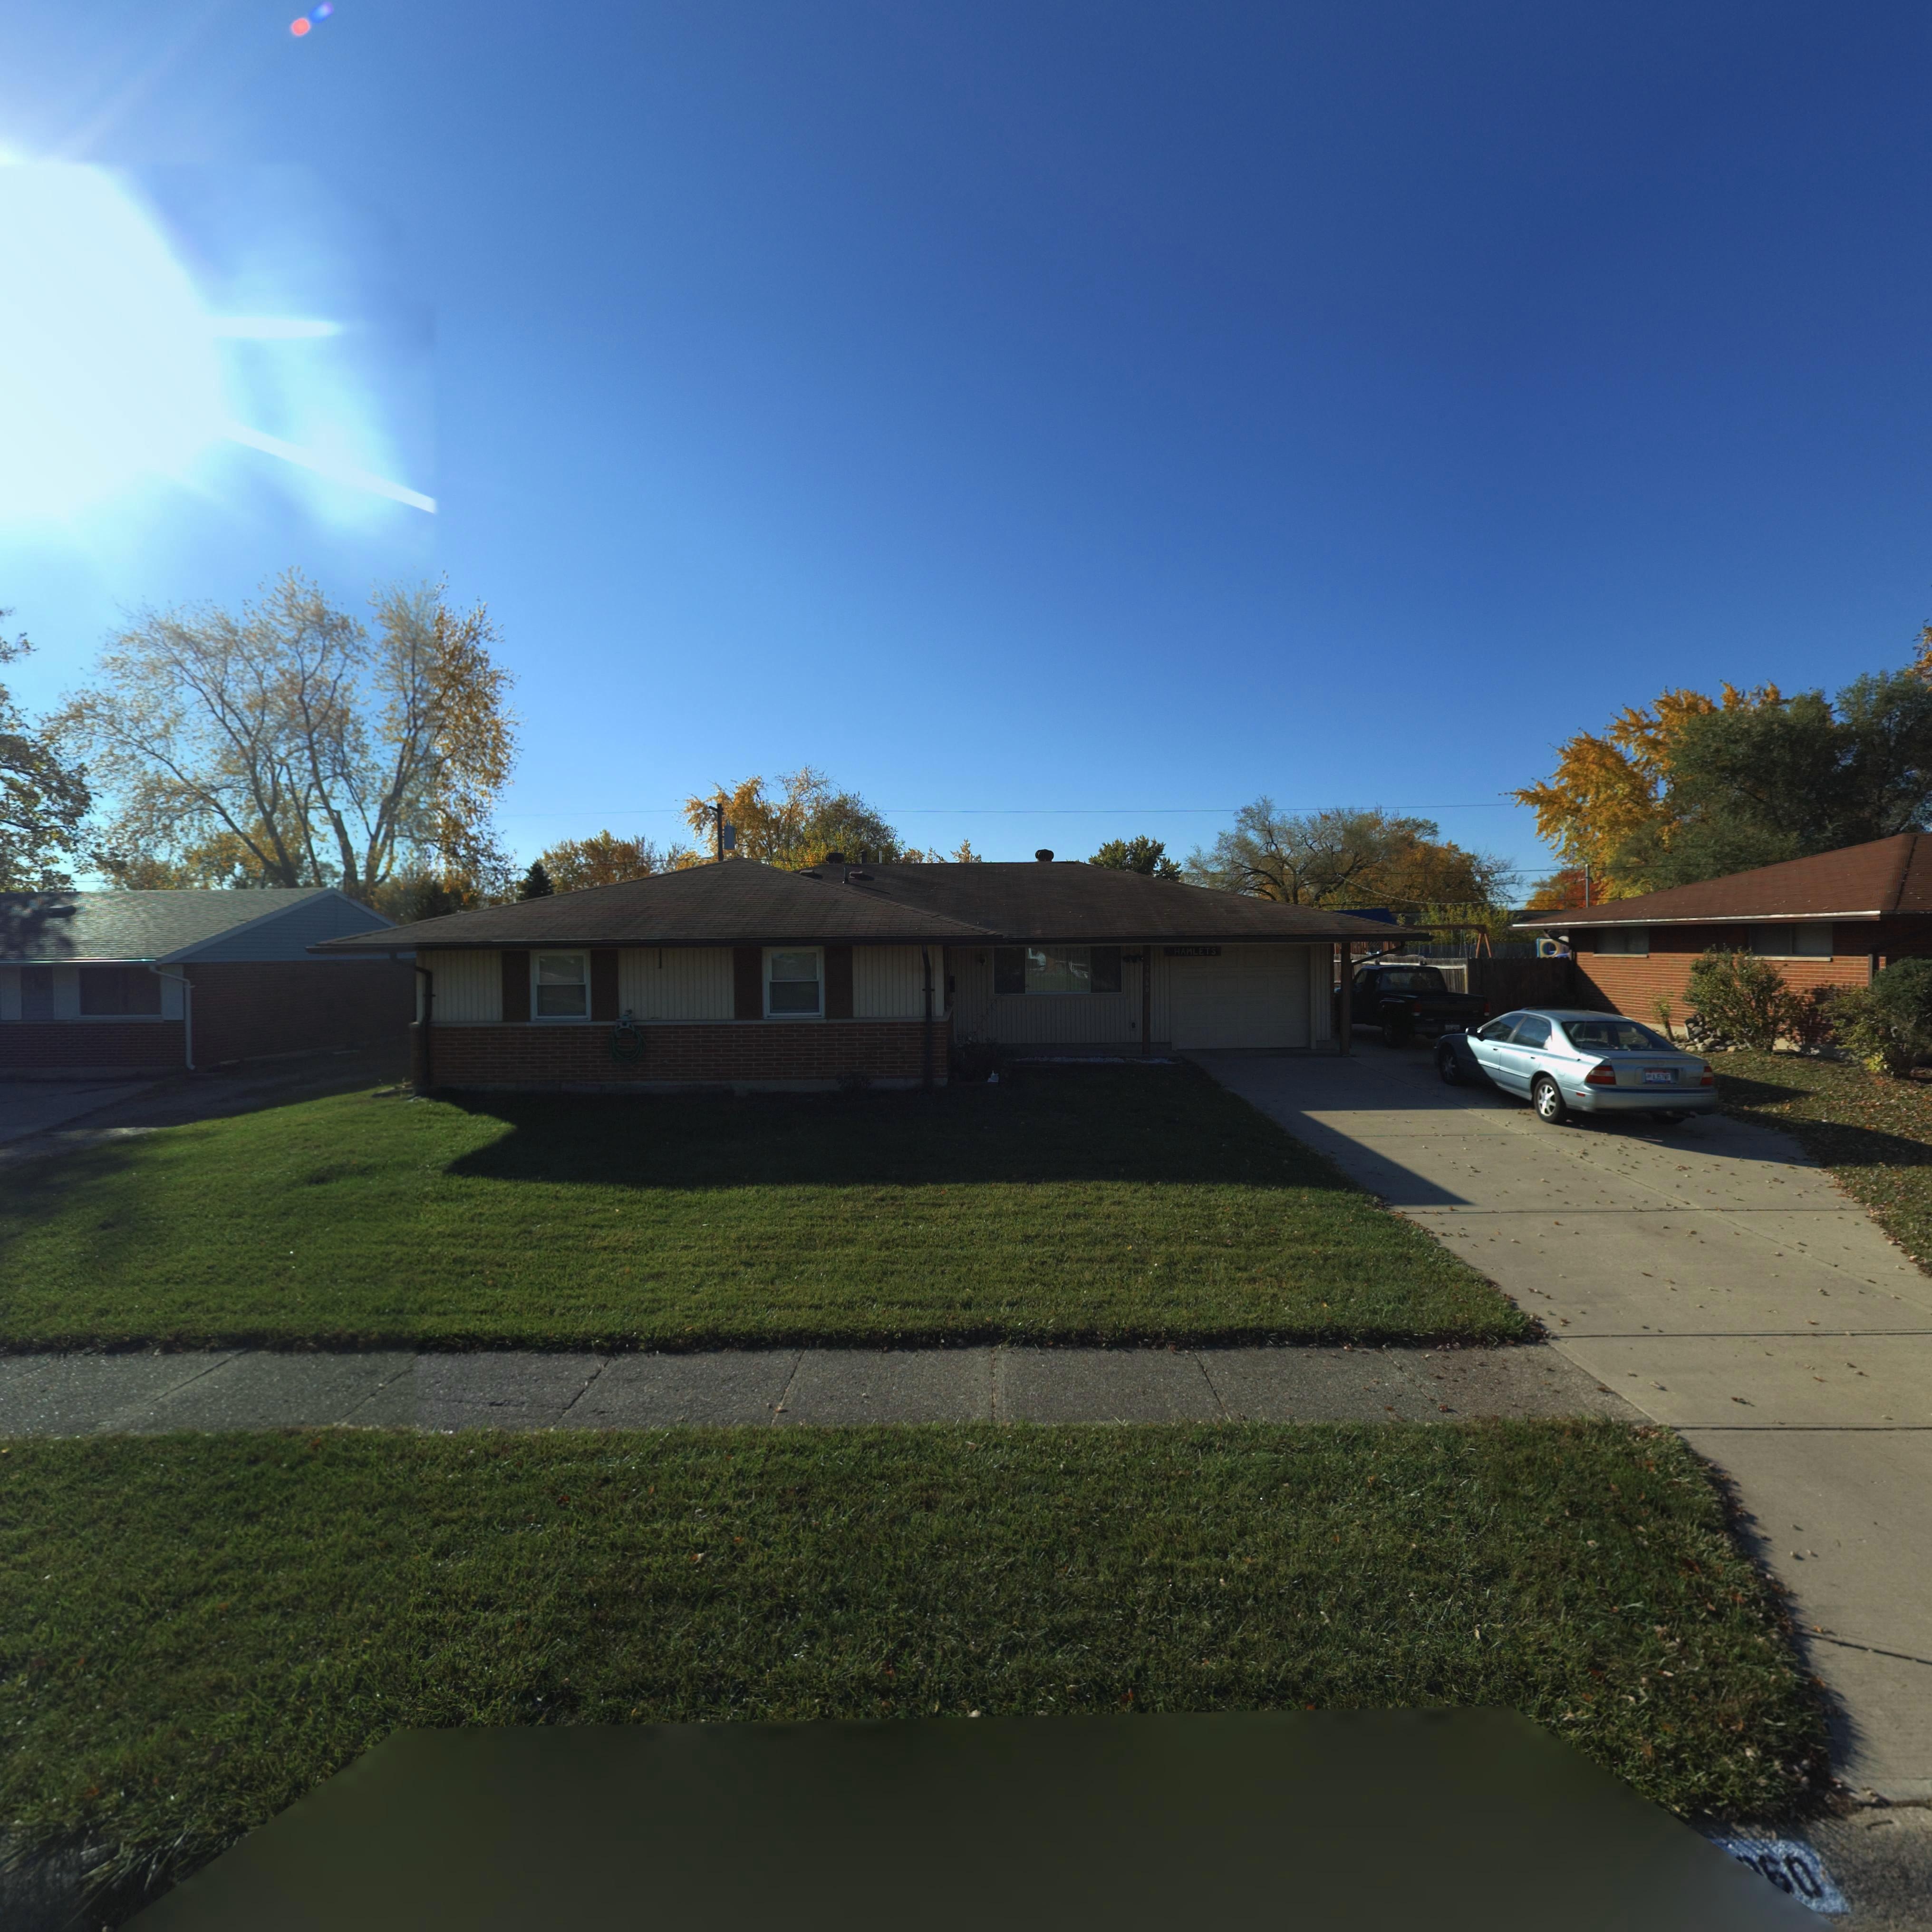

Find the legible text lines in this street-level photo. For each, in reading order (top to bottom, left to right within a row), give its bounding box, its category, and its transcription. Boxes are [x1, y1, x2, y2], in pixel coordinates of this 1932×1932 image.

[1145, 964, 1150, 994] StreetNumber: 7960
[1755, 1852, 1826, 1900] StreetNumber: 60